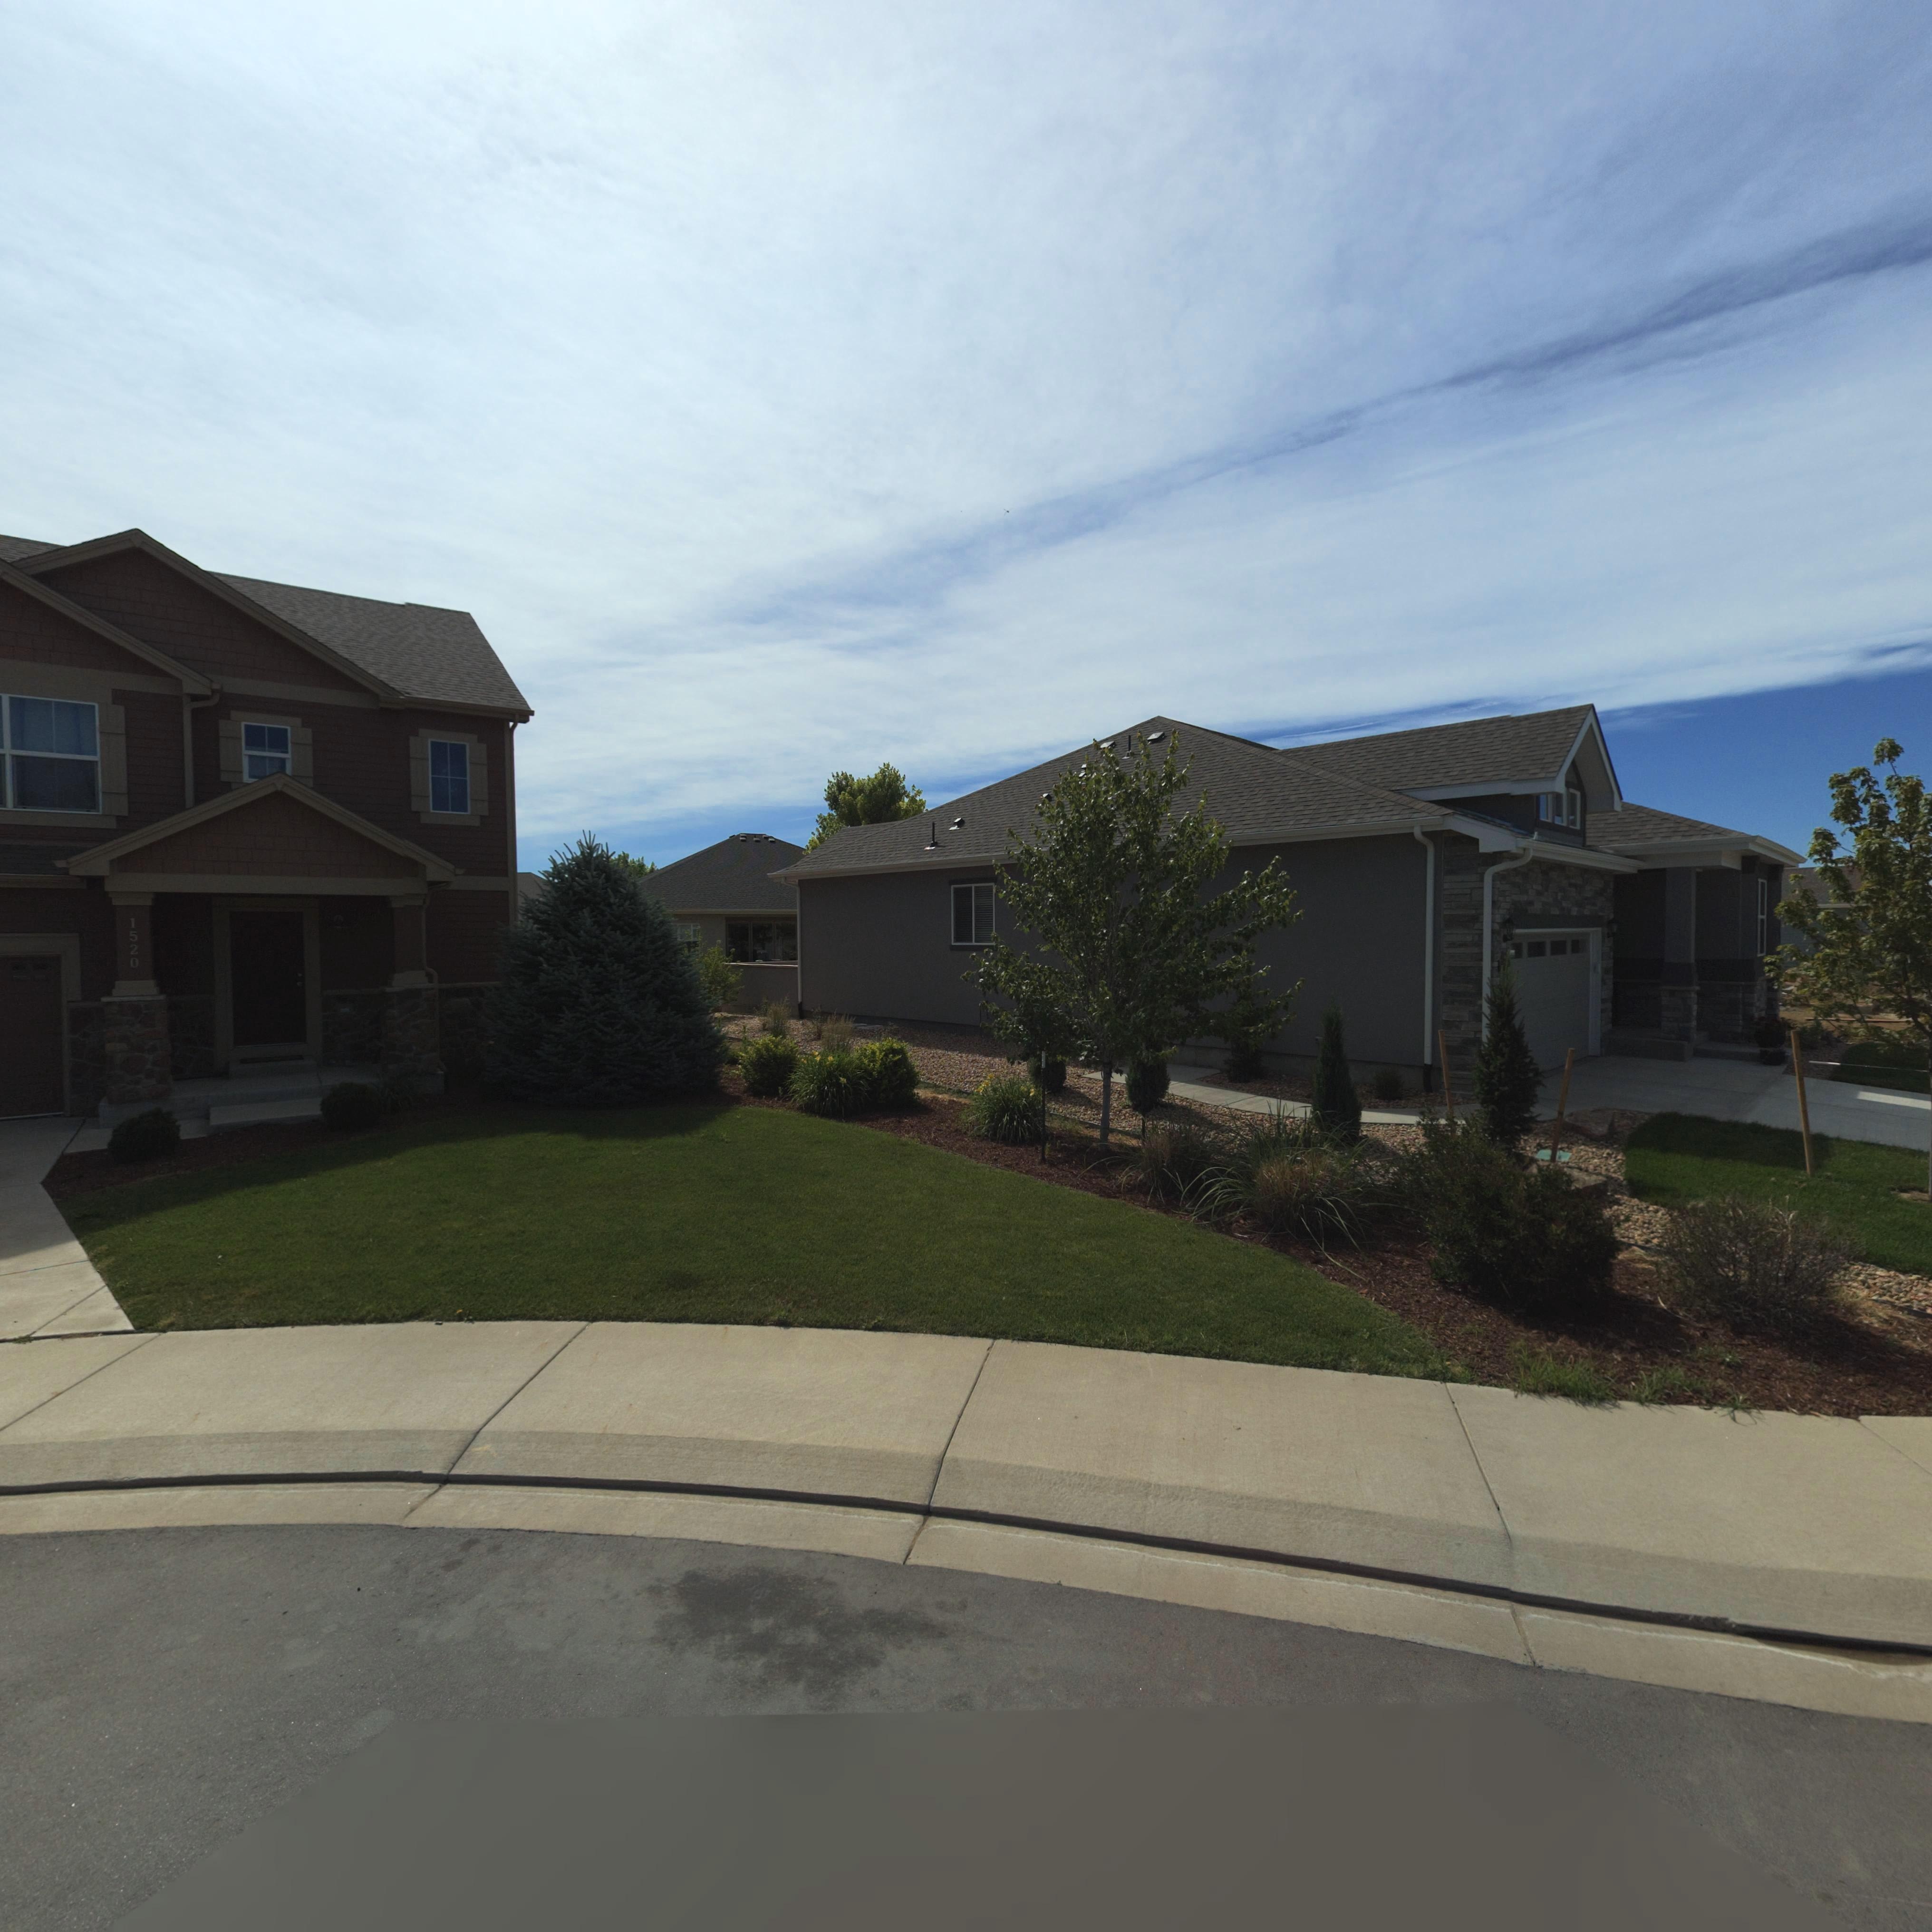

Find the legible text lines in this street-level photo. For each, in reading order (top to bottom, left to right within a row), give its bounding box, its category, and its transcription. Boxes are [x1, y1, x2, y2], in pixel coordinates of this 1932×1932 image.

[128, 916, 139, 968] StreetNumber: 1520